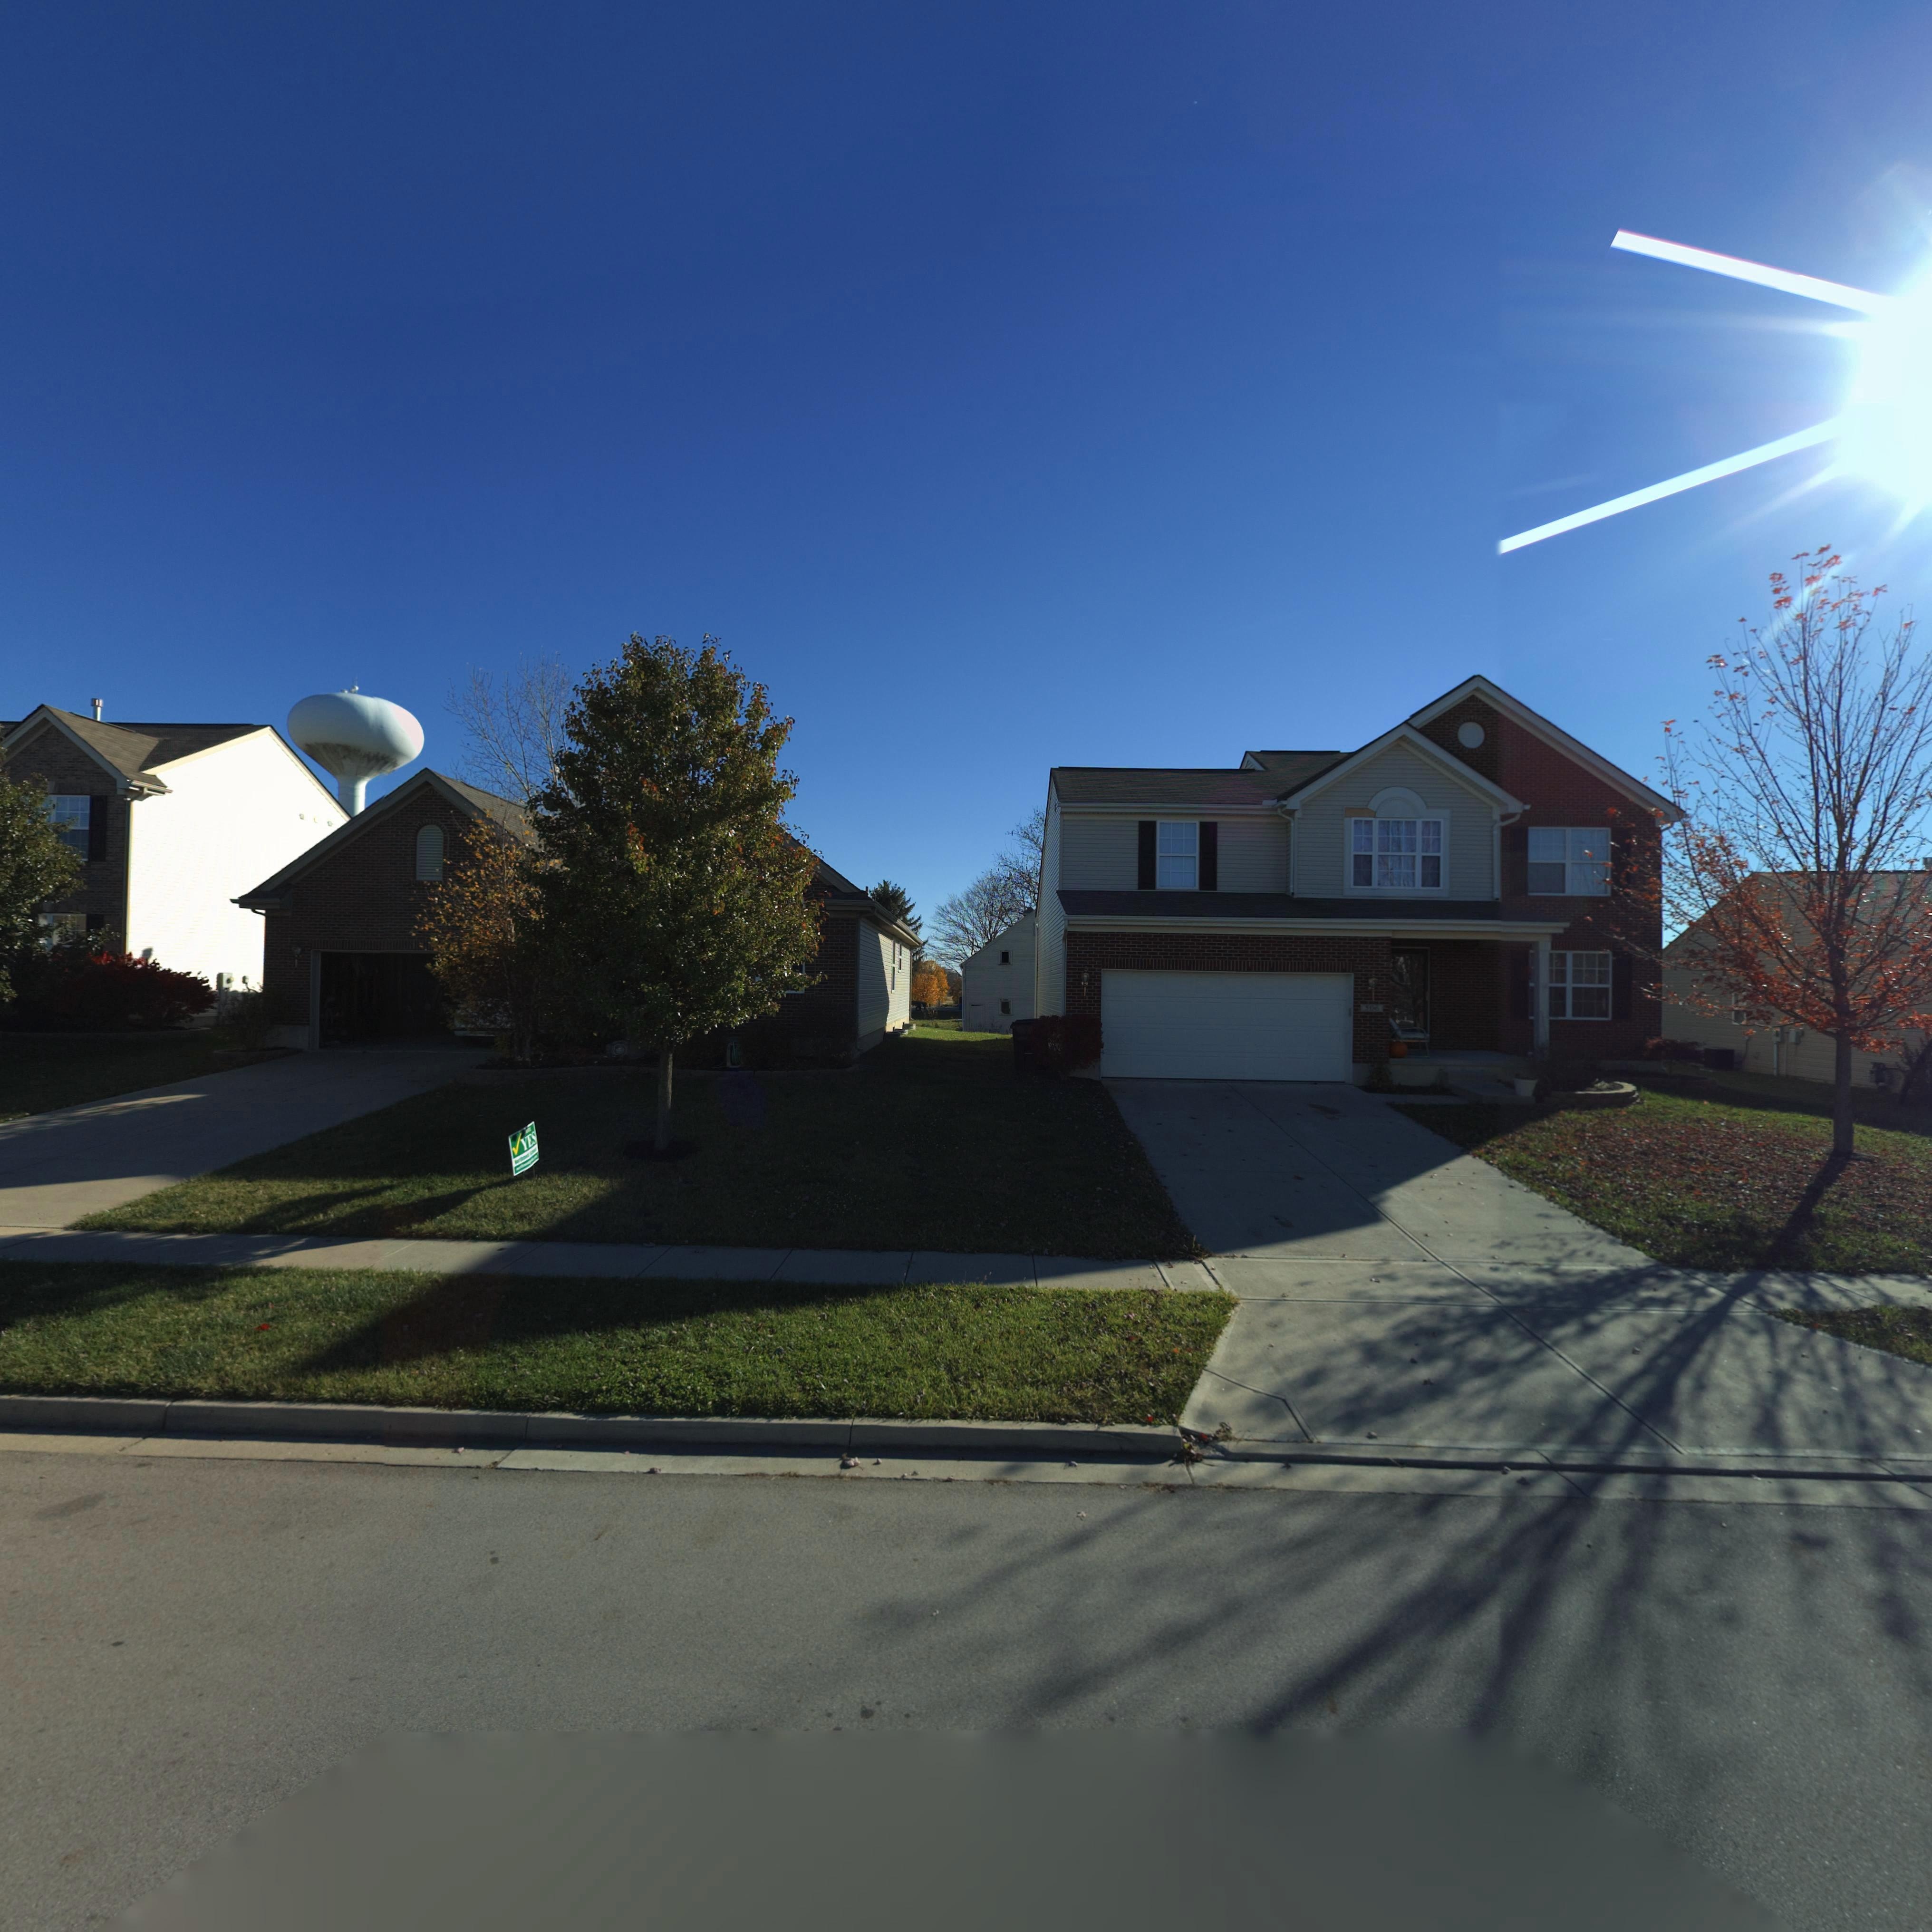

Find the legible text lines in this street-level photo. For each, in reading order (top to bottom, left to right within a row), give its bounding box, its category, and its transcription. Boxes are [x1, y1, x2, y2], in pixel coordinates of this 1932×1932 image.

[1364, 1005, 1381, 1012] StreetNumber: 506
[519, 1130, 537, 1151] None: YES